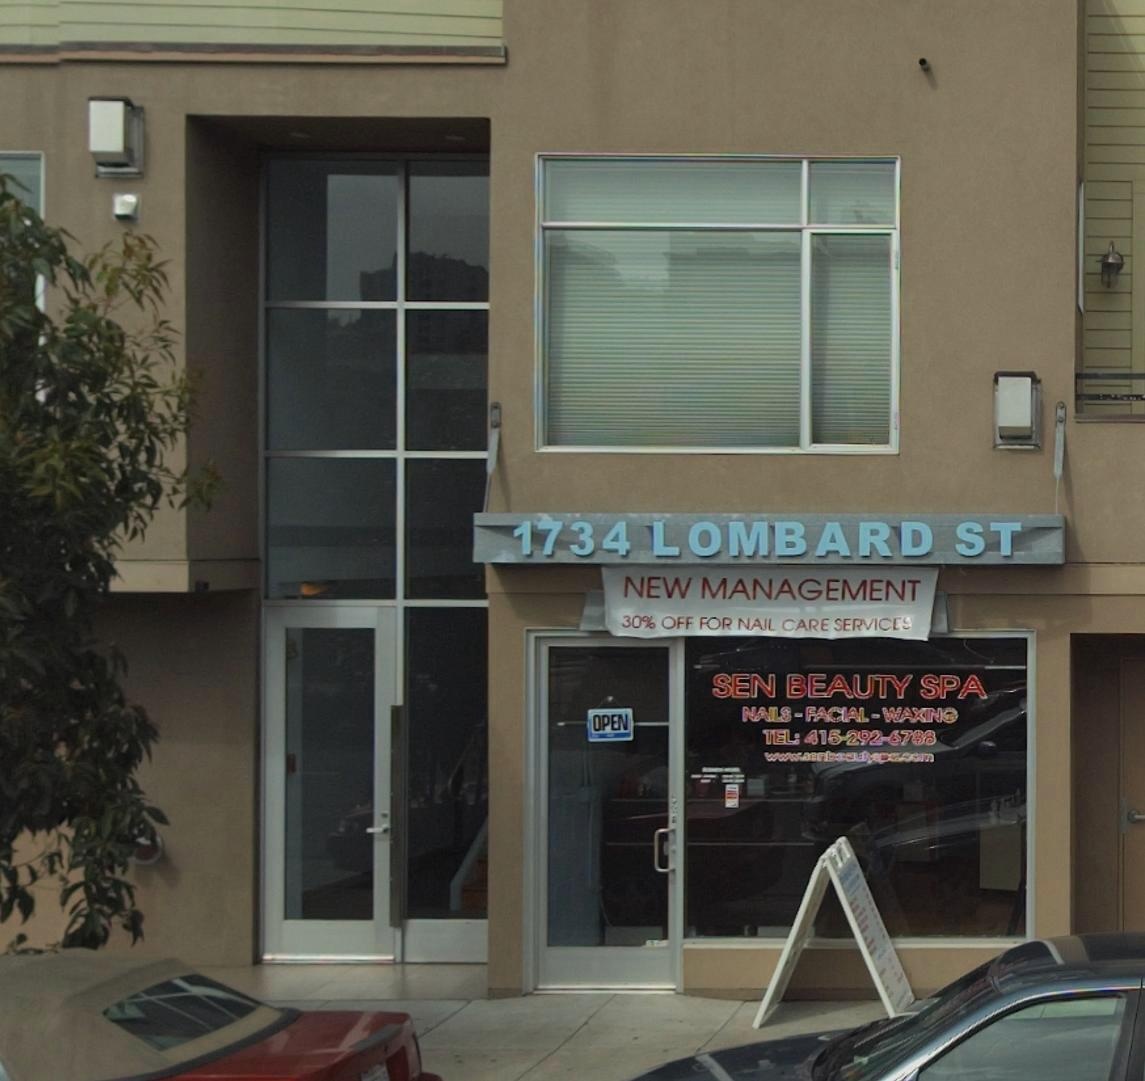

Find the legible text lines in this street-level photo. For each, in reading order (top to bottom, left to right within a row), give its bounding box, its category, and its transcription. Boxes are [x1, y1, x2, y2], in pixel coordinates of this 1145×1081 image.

[512, 521, 631, 557] StreetNumber: 1734
[651, 520, 1023, 558] StreetName: LOMBARD ST
[624, 576, 921, 601] None: NEW MANAGEMENT
[622, 615, 914, 632] None: 30% OFF FOR NAIL CARE SERVICES
[712, 672, 989, 700] BusinessName: SEN BEAUTY SPA
[592, 713, 629, 732] None: OPEN
[742, 705, 959, 724] None: NAILS-FACIAL-WAXING
[762, 729, 937, 747] None: TEL: 415-292-6788
[763, 750, 936, 764] None: www.senbeautyspa.com